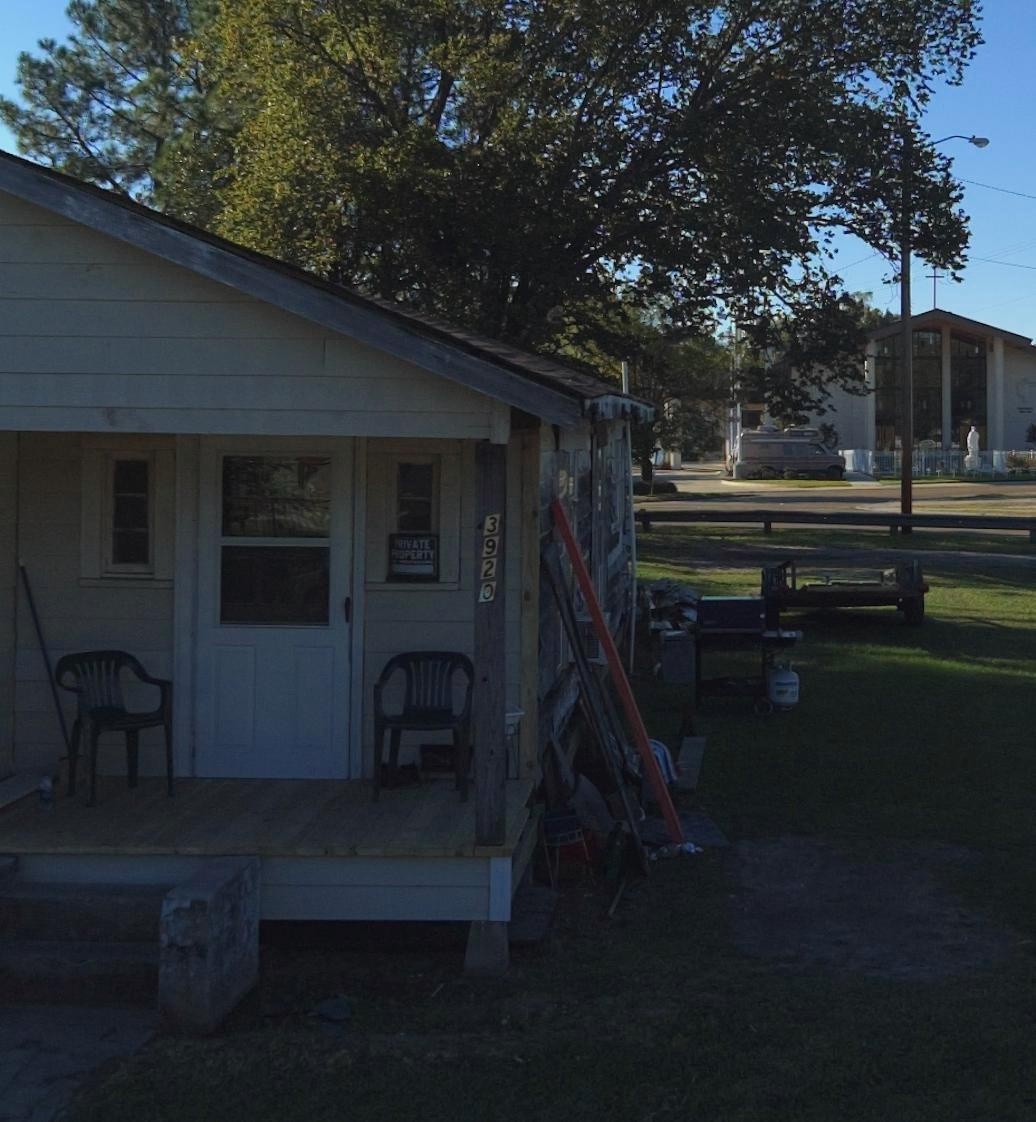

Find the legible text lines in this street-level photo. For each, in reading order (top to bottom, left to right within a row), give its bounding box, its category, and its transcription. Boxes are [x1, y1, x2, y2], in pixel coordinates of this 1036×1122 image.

[402, 537, 433, 551] None: IVATE
[401, 548, 436, 561] None: PERTY
[478, 513, 500, 602] StreetNumber: 3920